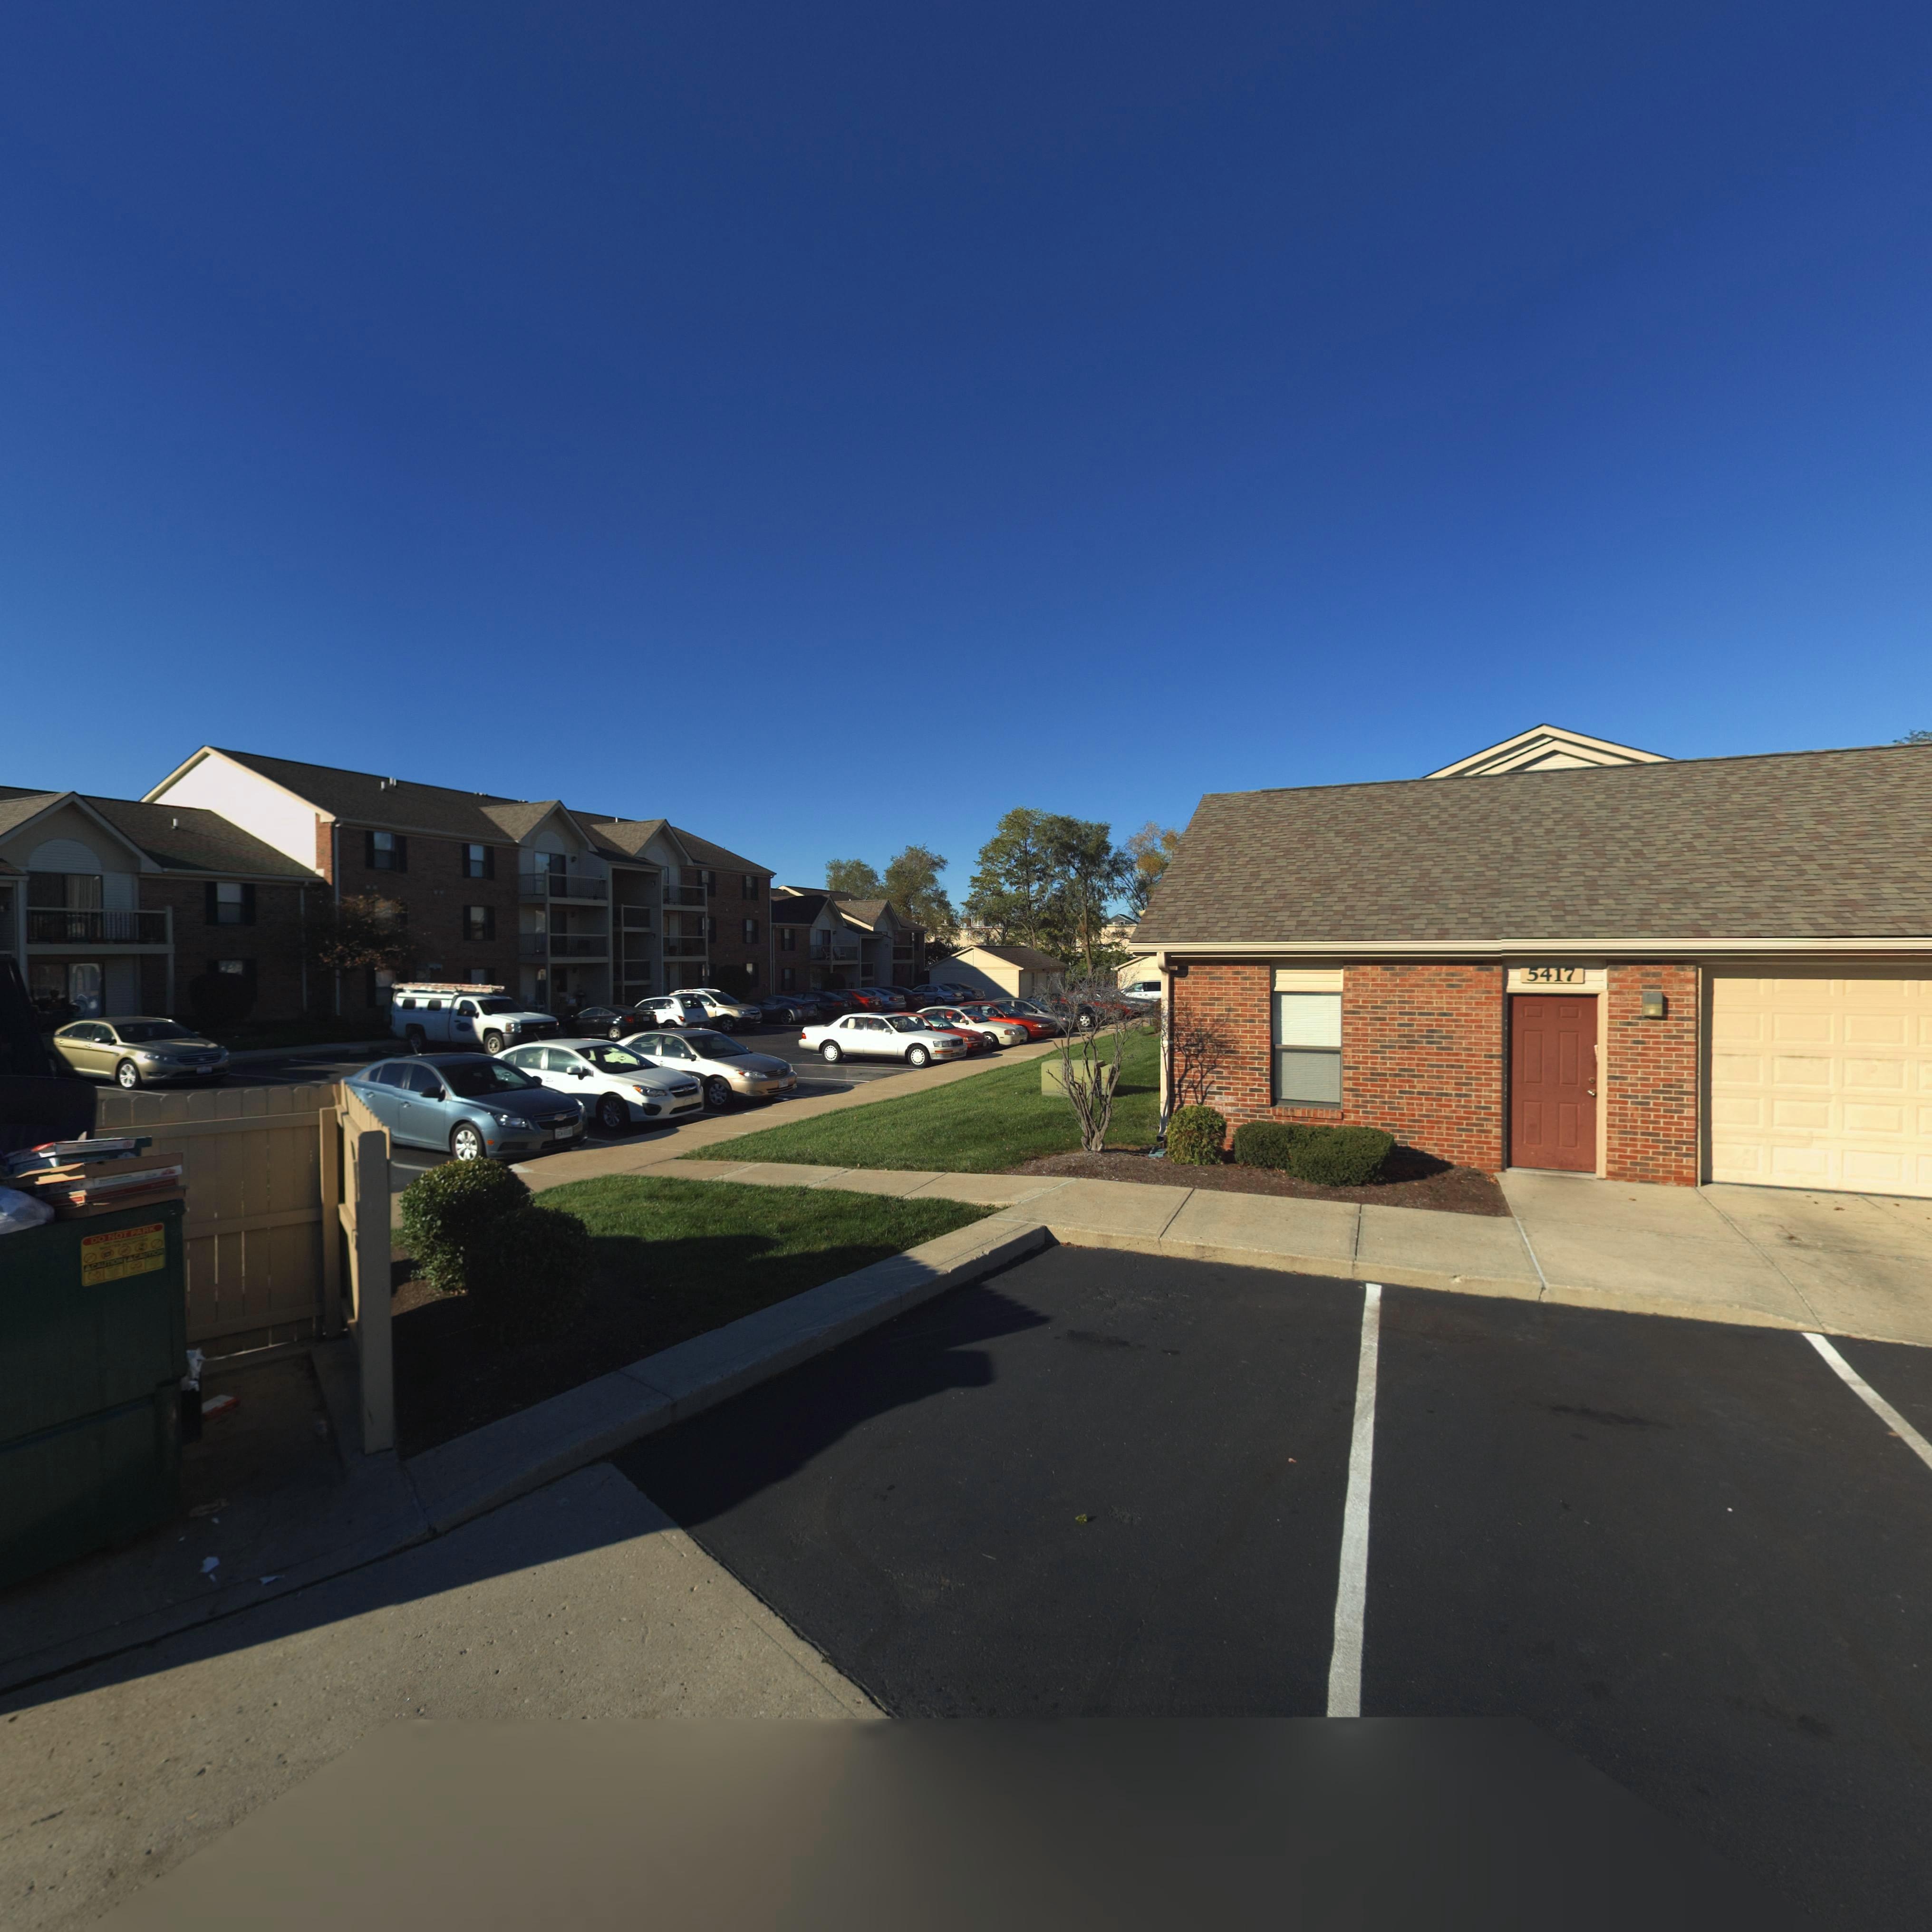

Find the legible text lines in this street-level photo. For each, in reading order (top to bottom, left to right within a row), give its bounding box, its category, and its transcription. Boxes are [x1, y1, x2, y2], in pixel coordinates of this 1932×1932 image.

[1527, 966, 1575, 982] StreetNumber: 5417